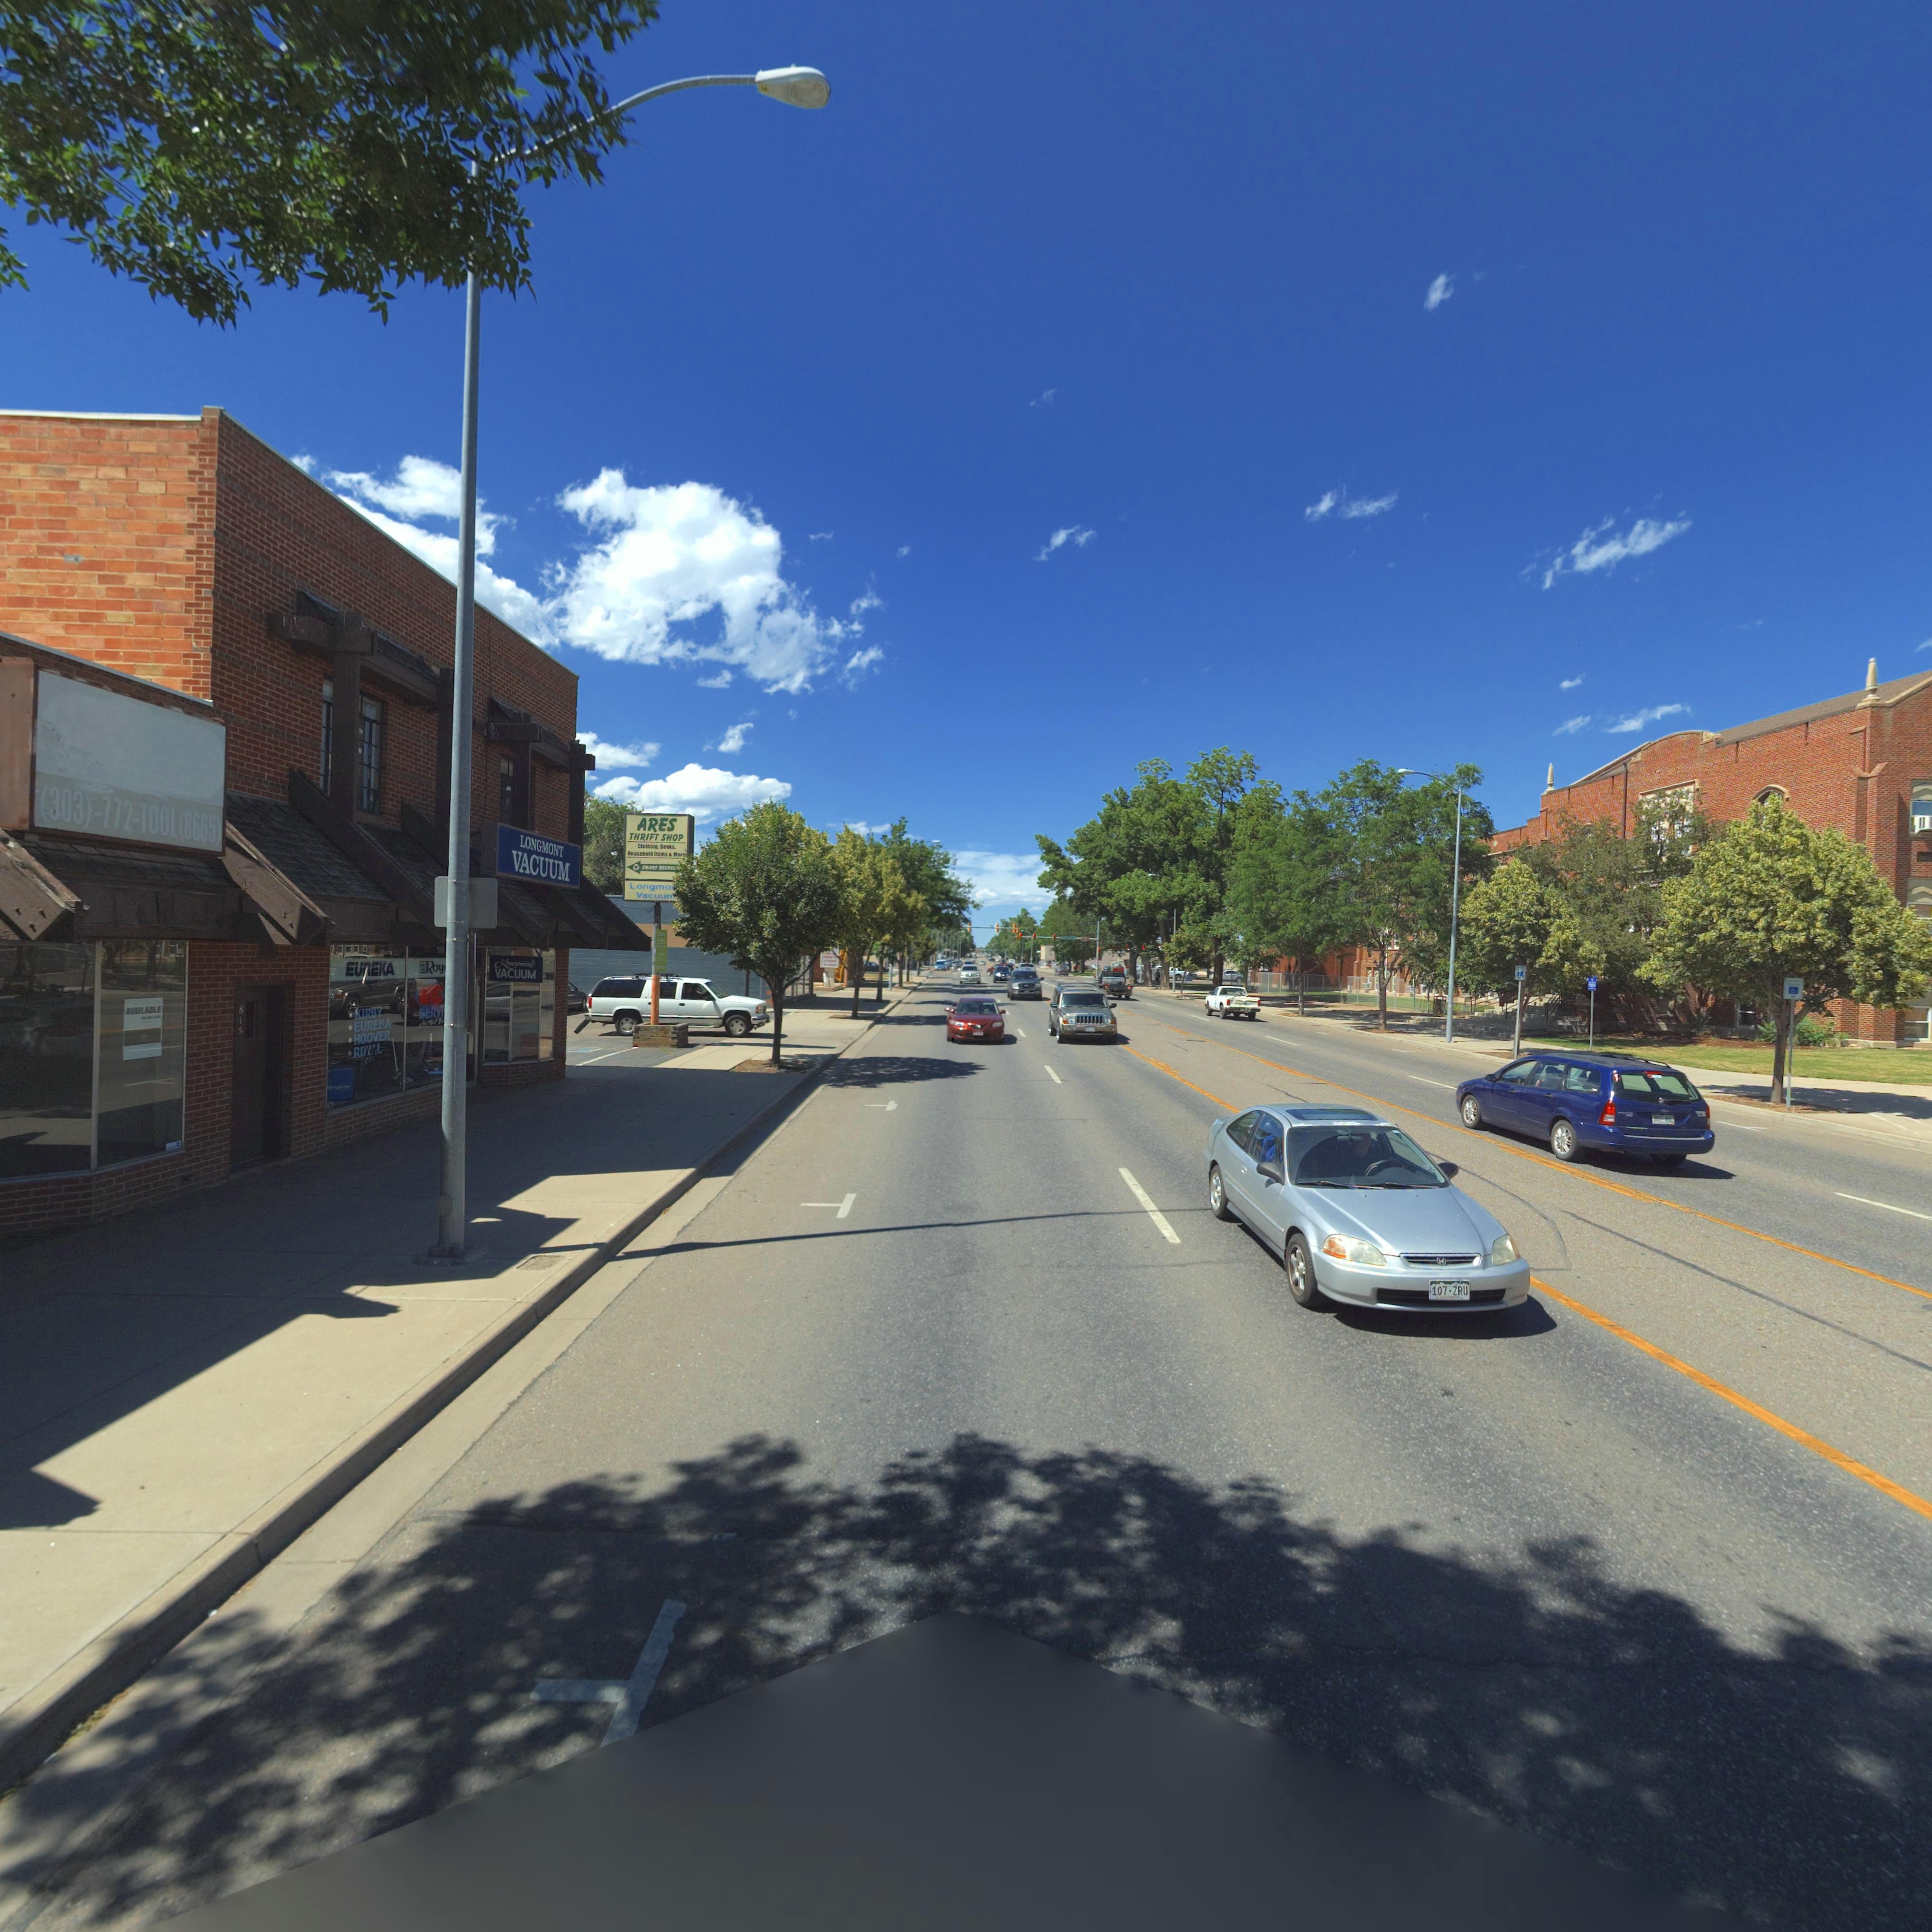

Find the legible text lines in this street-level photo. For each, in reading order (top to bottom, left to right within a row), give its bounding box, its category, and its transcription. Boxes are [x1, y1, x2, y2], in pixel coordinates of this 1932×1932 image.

[636, 817, 677, 833] BusinessName: ARES
[629, 832, 684, 841] BusinessName: THRIFT SHOP
[520, 834, 564, 858] BusinessName: LONGMONT
[511, 849, 570, 882] BusinessName: VACUUM
[641, 865, 675, 870] BusinessName: S*A*T RECYCL
[629, 882, 671, 891] BusinessName: Longmo
[636, 891, 675, 899] BusinessName: Vacuum
[494, 958, 536, 969] BusinessName: Longmont
[494, 968, 536, 979] BusinessName: VACUUM
[237, 1005, 244, 1036] StreetNumber: 815